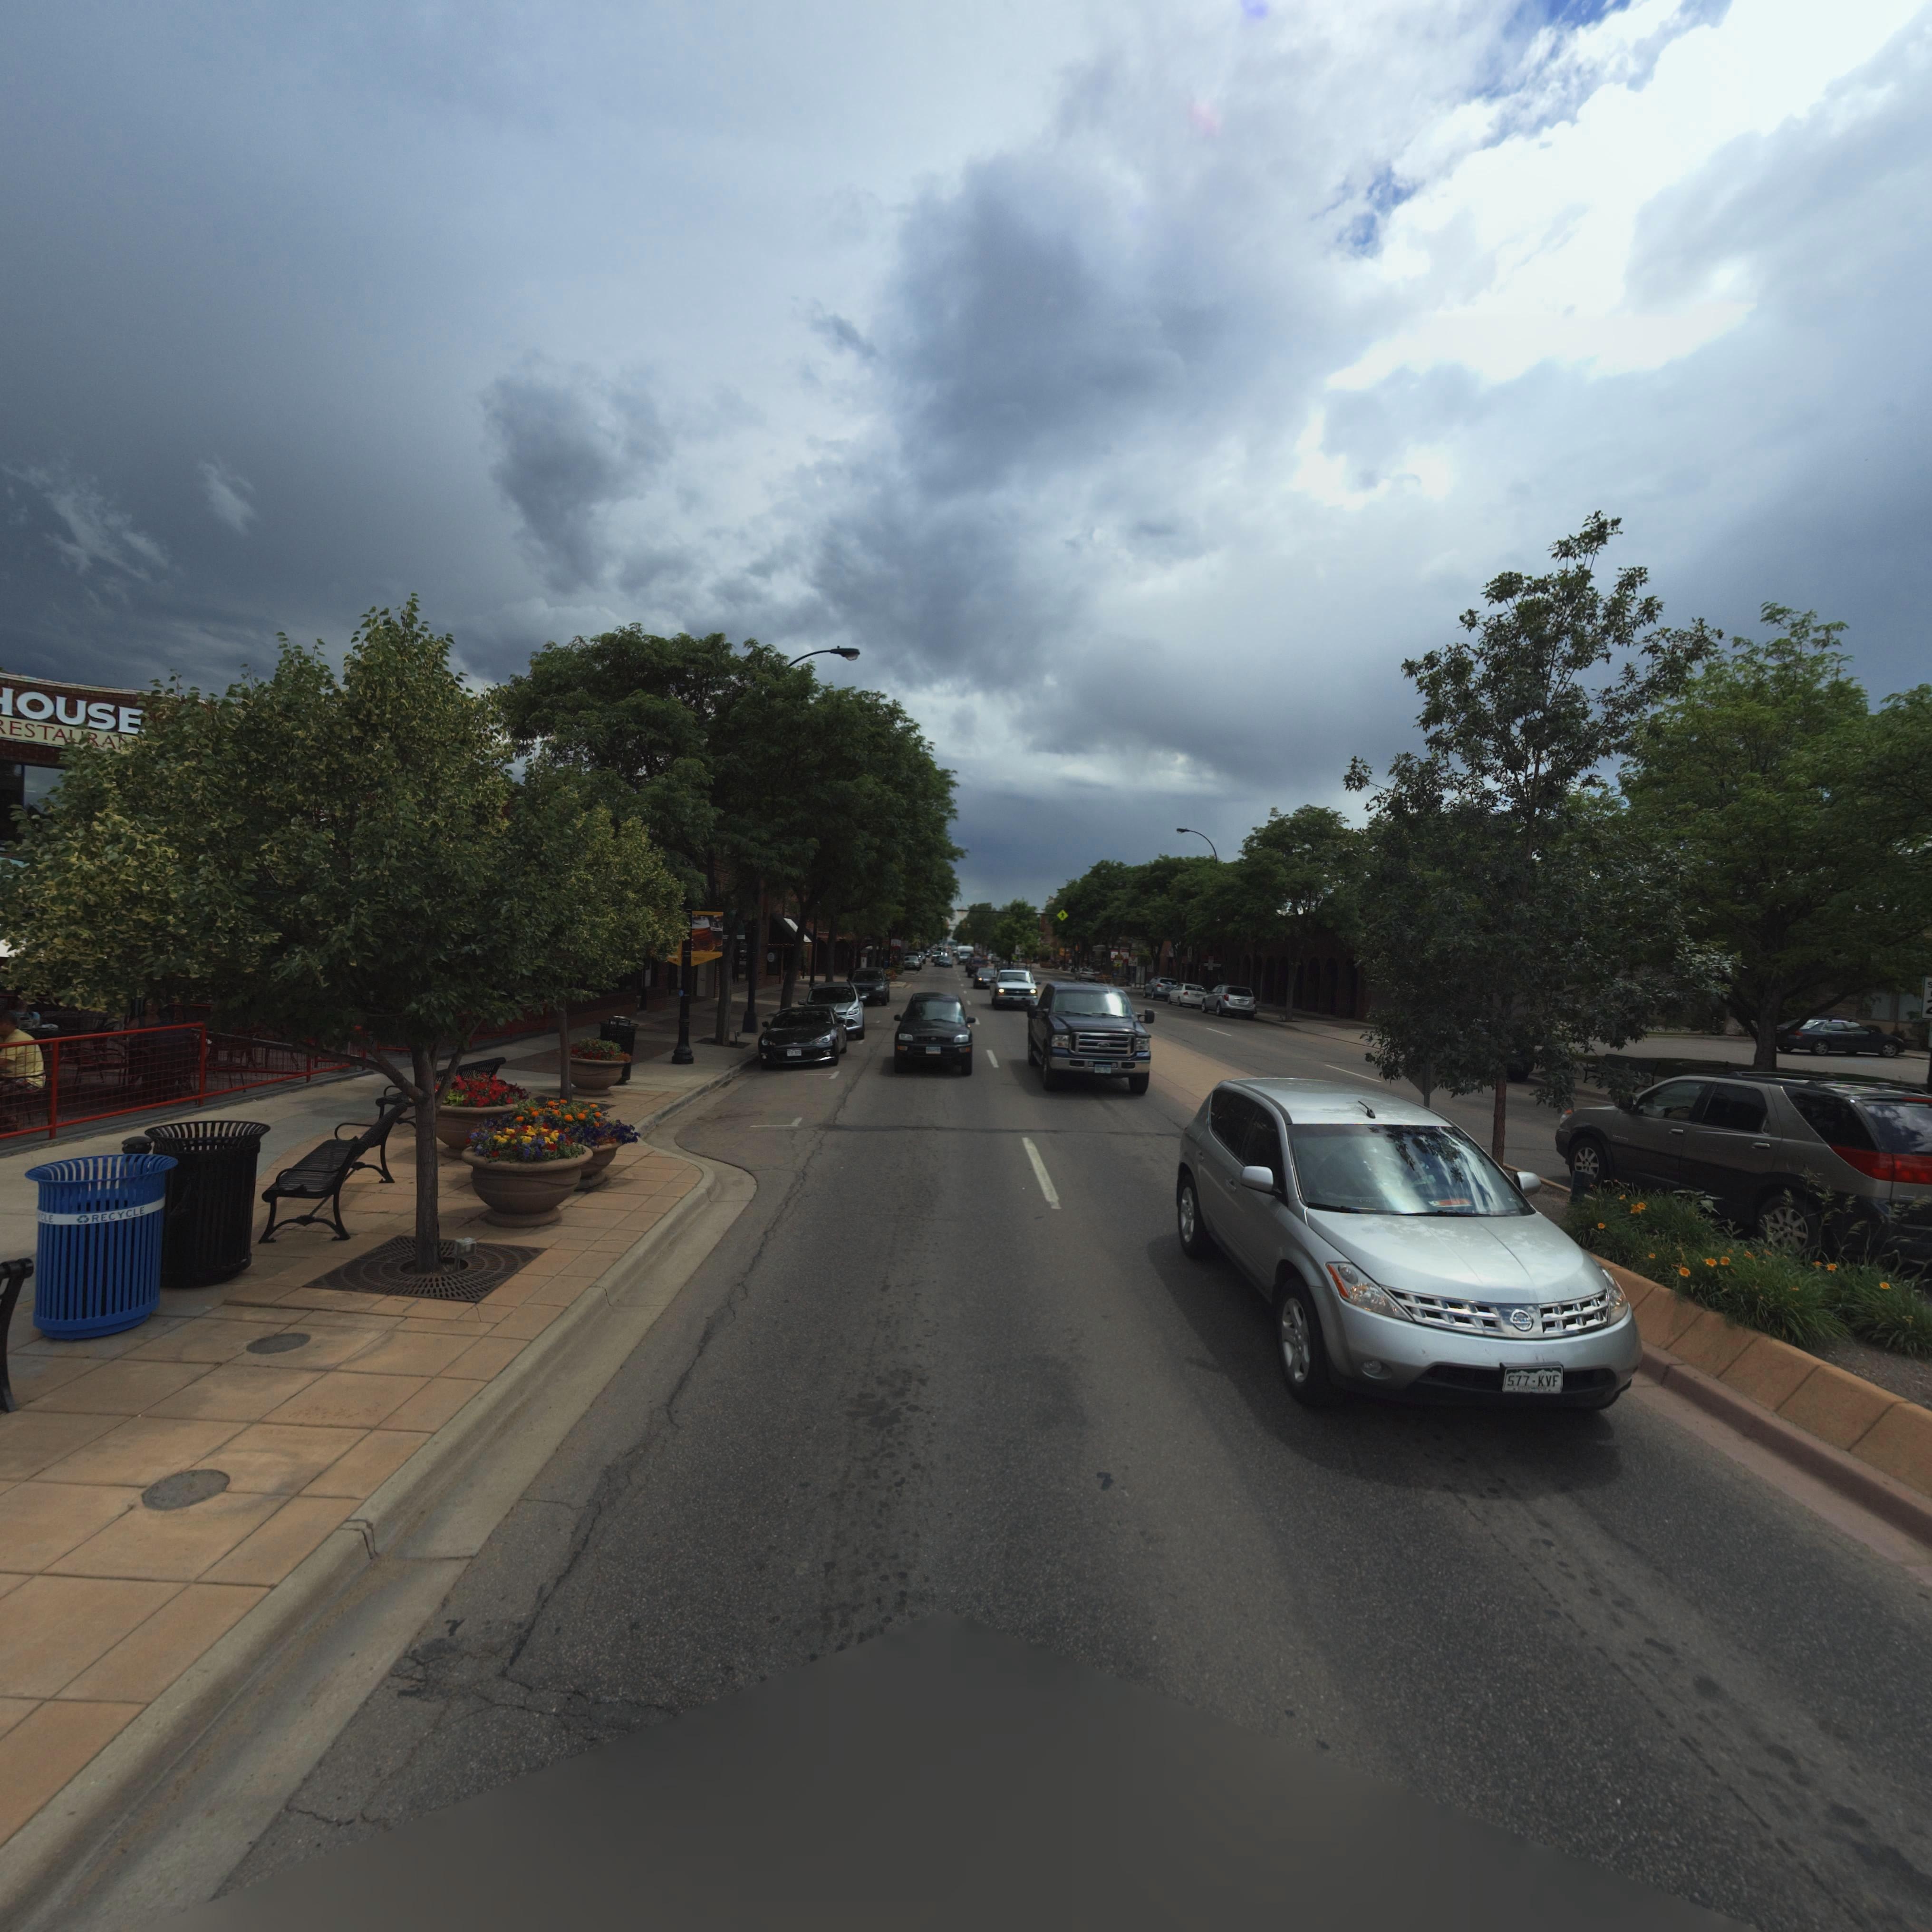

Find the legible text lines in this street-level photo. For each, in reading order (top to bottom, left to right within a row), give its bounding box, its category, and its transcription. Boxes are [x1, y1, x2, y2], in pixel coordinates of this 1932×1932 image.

[9, 719, 118, 751] BusinessName: ESTAURA
[14, 690, 144, 736] BusinessName: OUSE